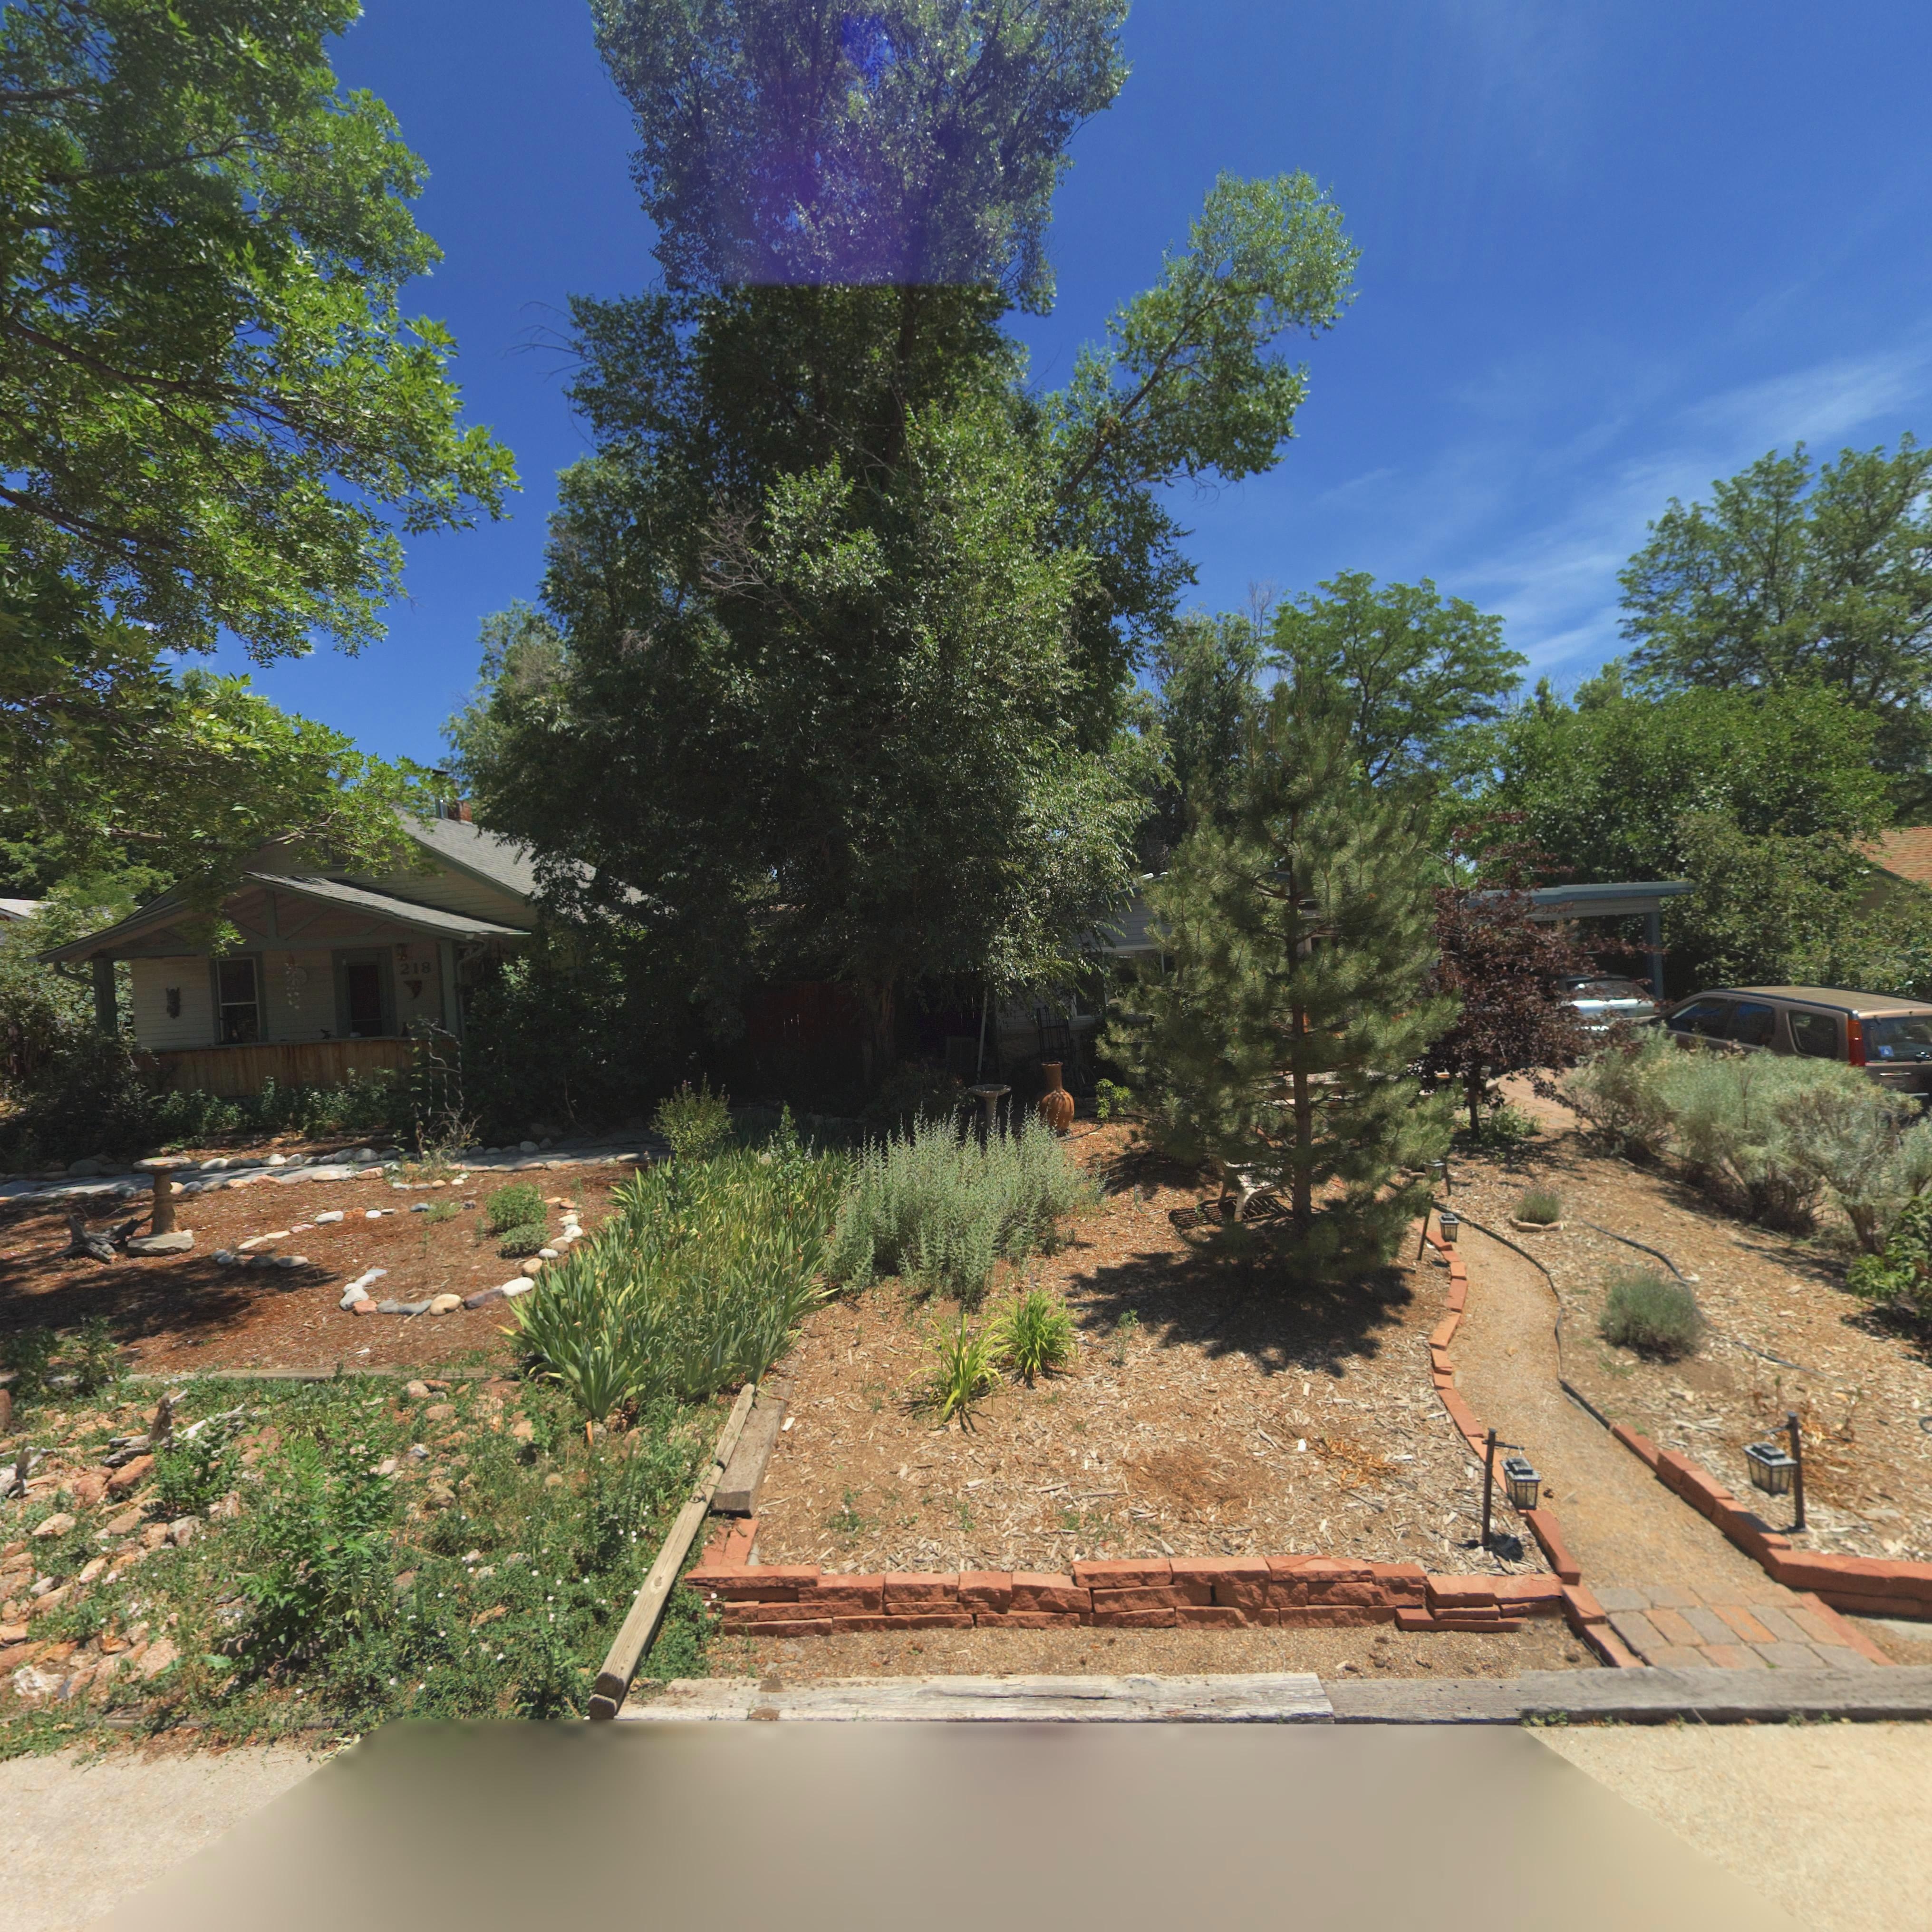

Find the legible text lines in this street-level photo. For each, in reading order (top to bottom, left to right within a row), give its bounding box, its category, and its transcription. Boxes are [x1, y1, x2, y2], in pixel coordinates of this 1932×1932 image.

[399, 961, 433, 976] StreetNumber: 218